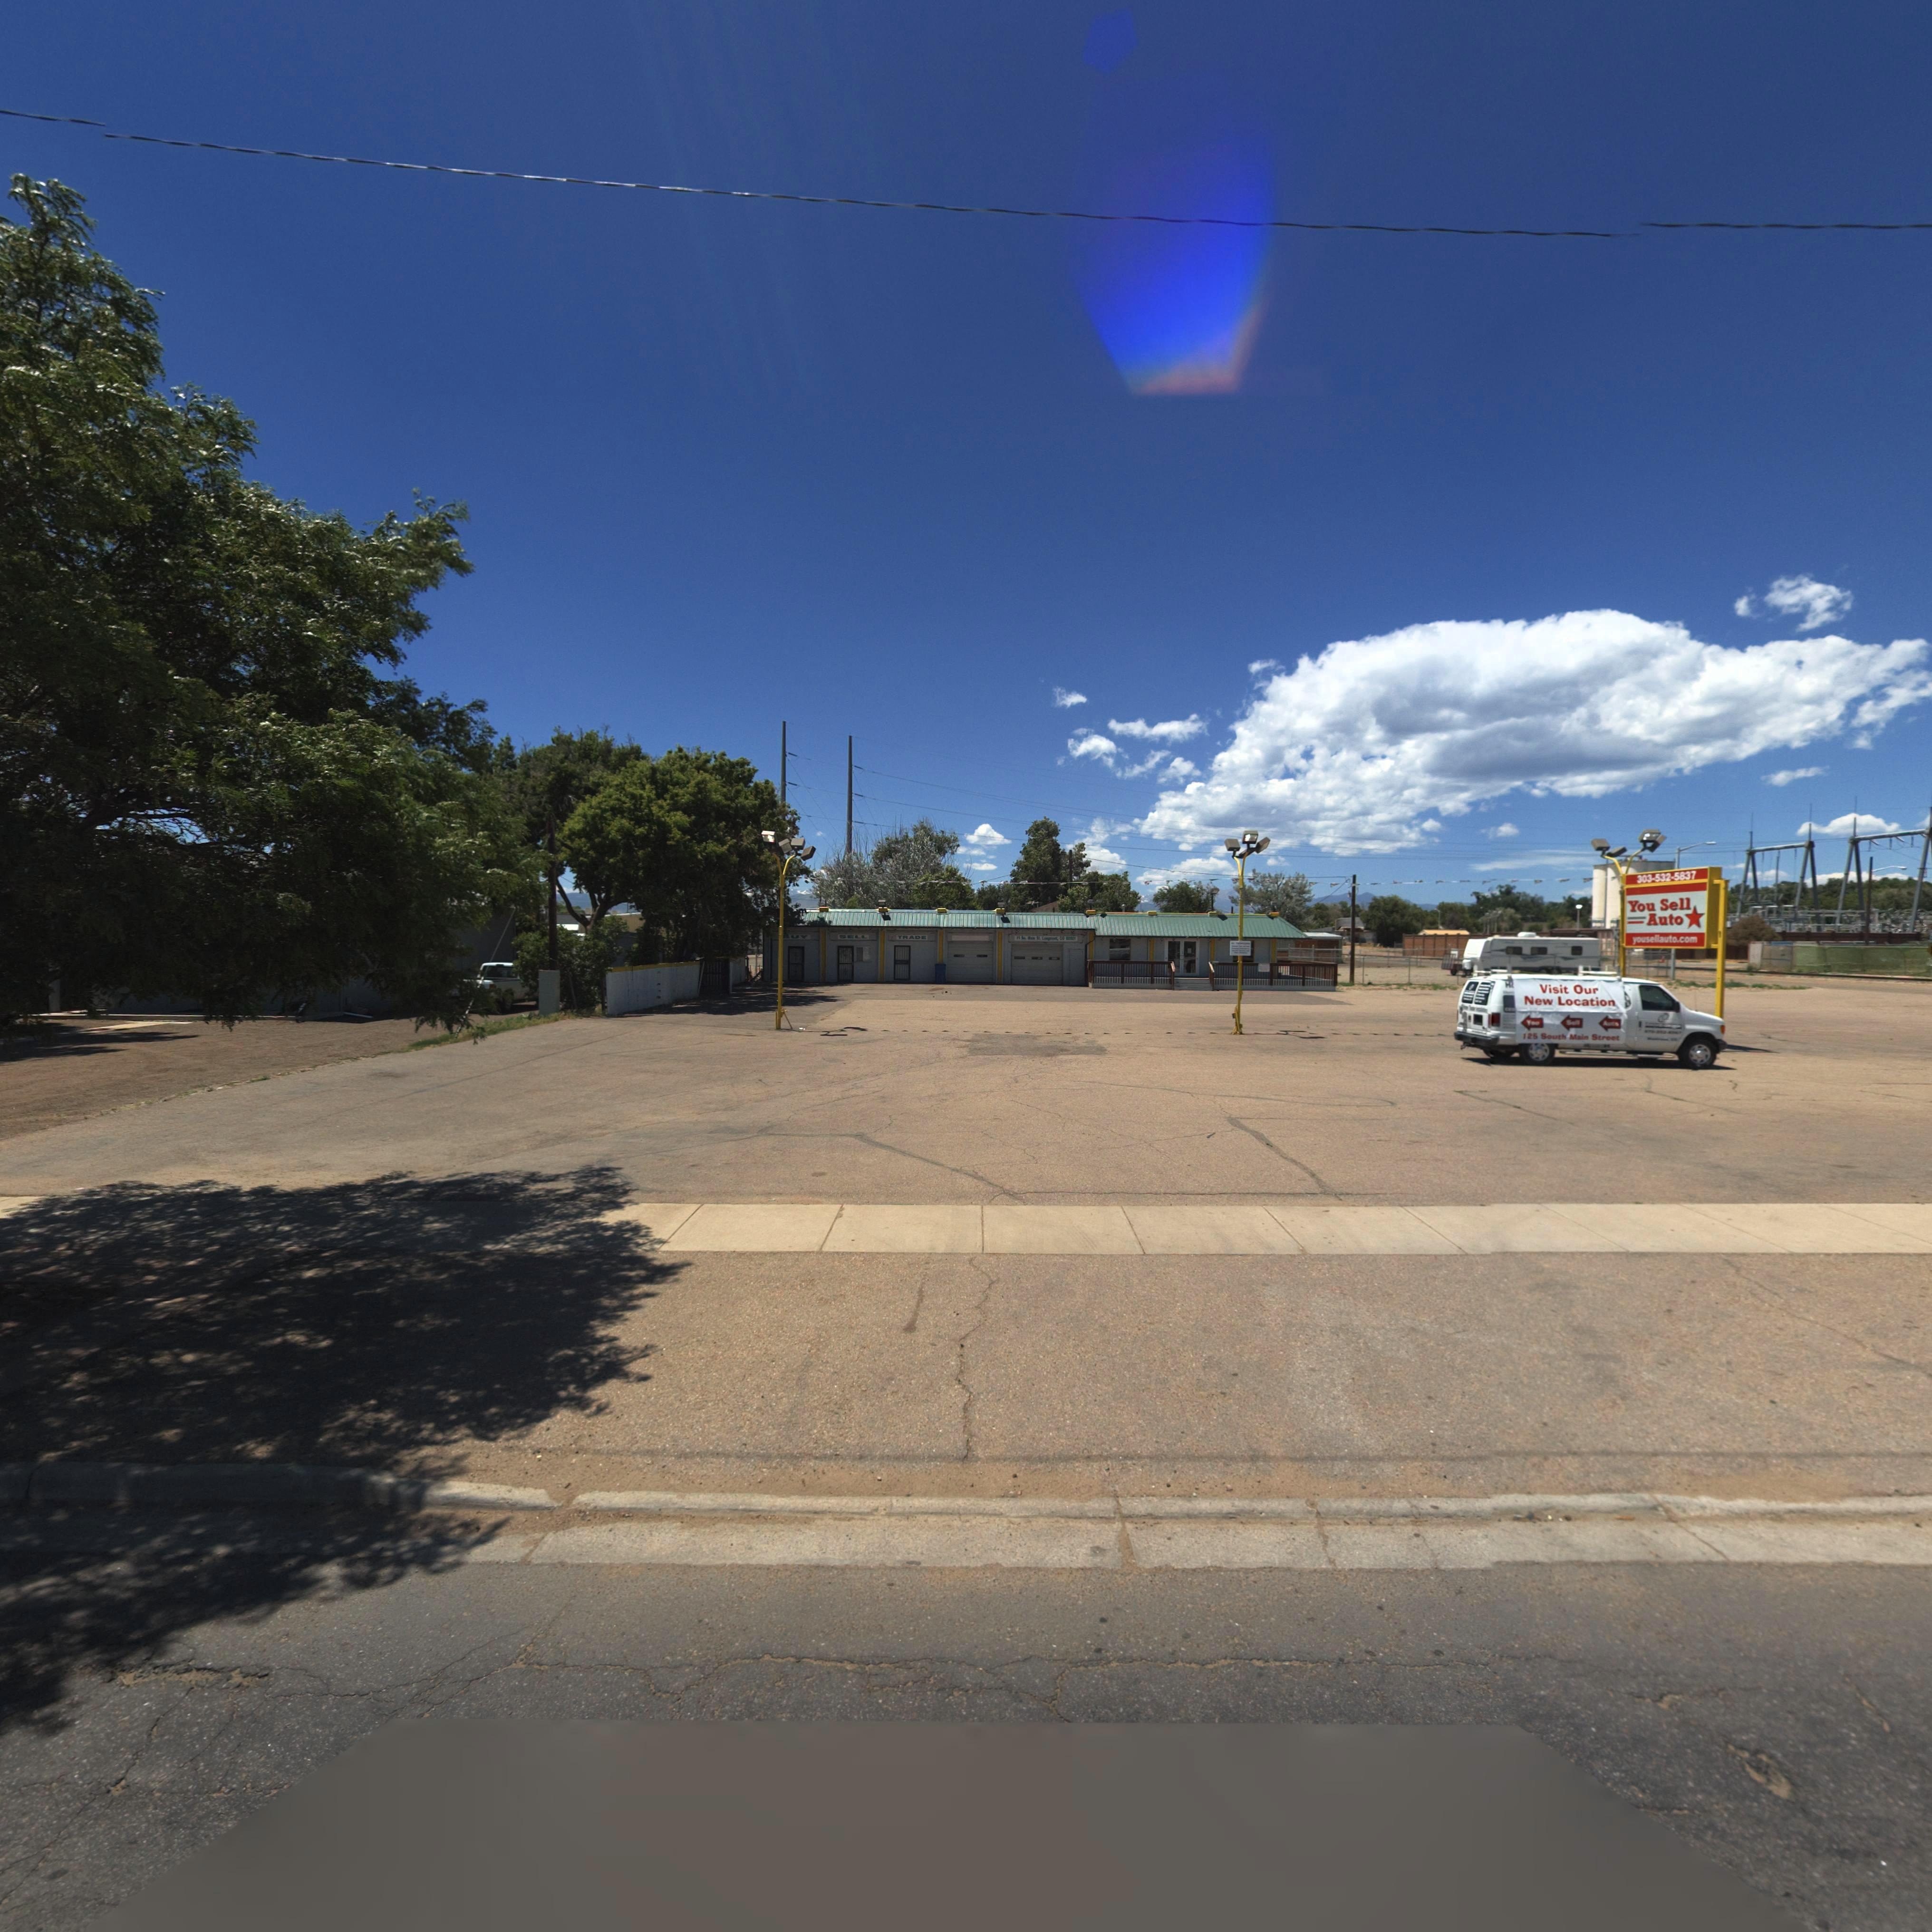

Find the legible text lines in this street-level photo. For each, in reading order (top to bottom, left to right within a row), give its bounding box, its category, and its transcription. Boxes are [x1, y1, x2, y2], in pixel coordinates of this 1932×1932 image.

[1626, 896, 1691, 912] BusinessName: You Sell
[1646, 912, 1683, 926] BusinessName: Auto